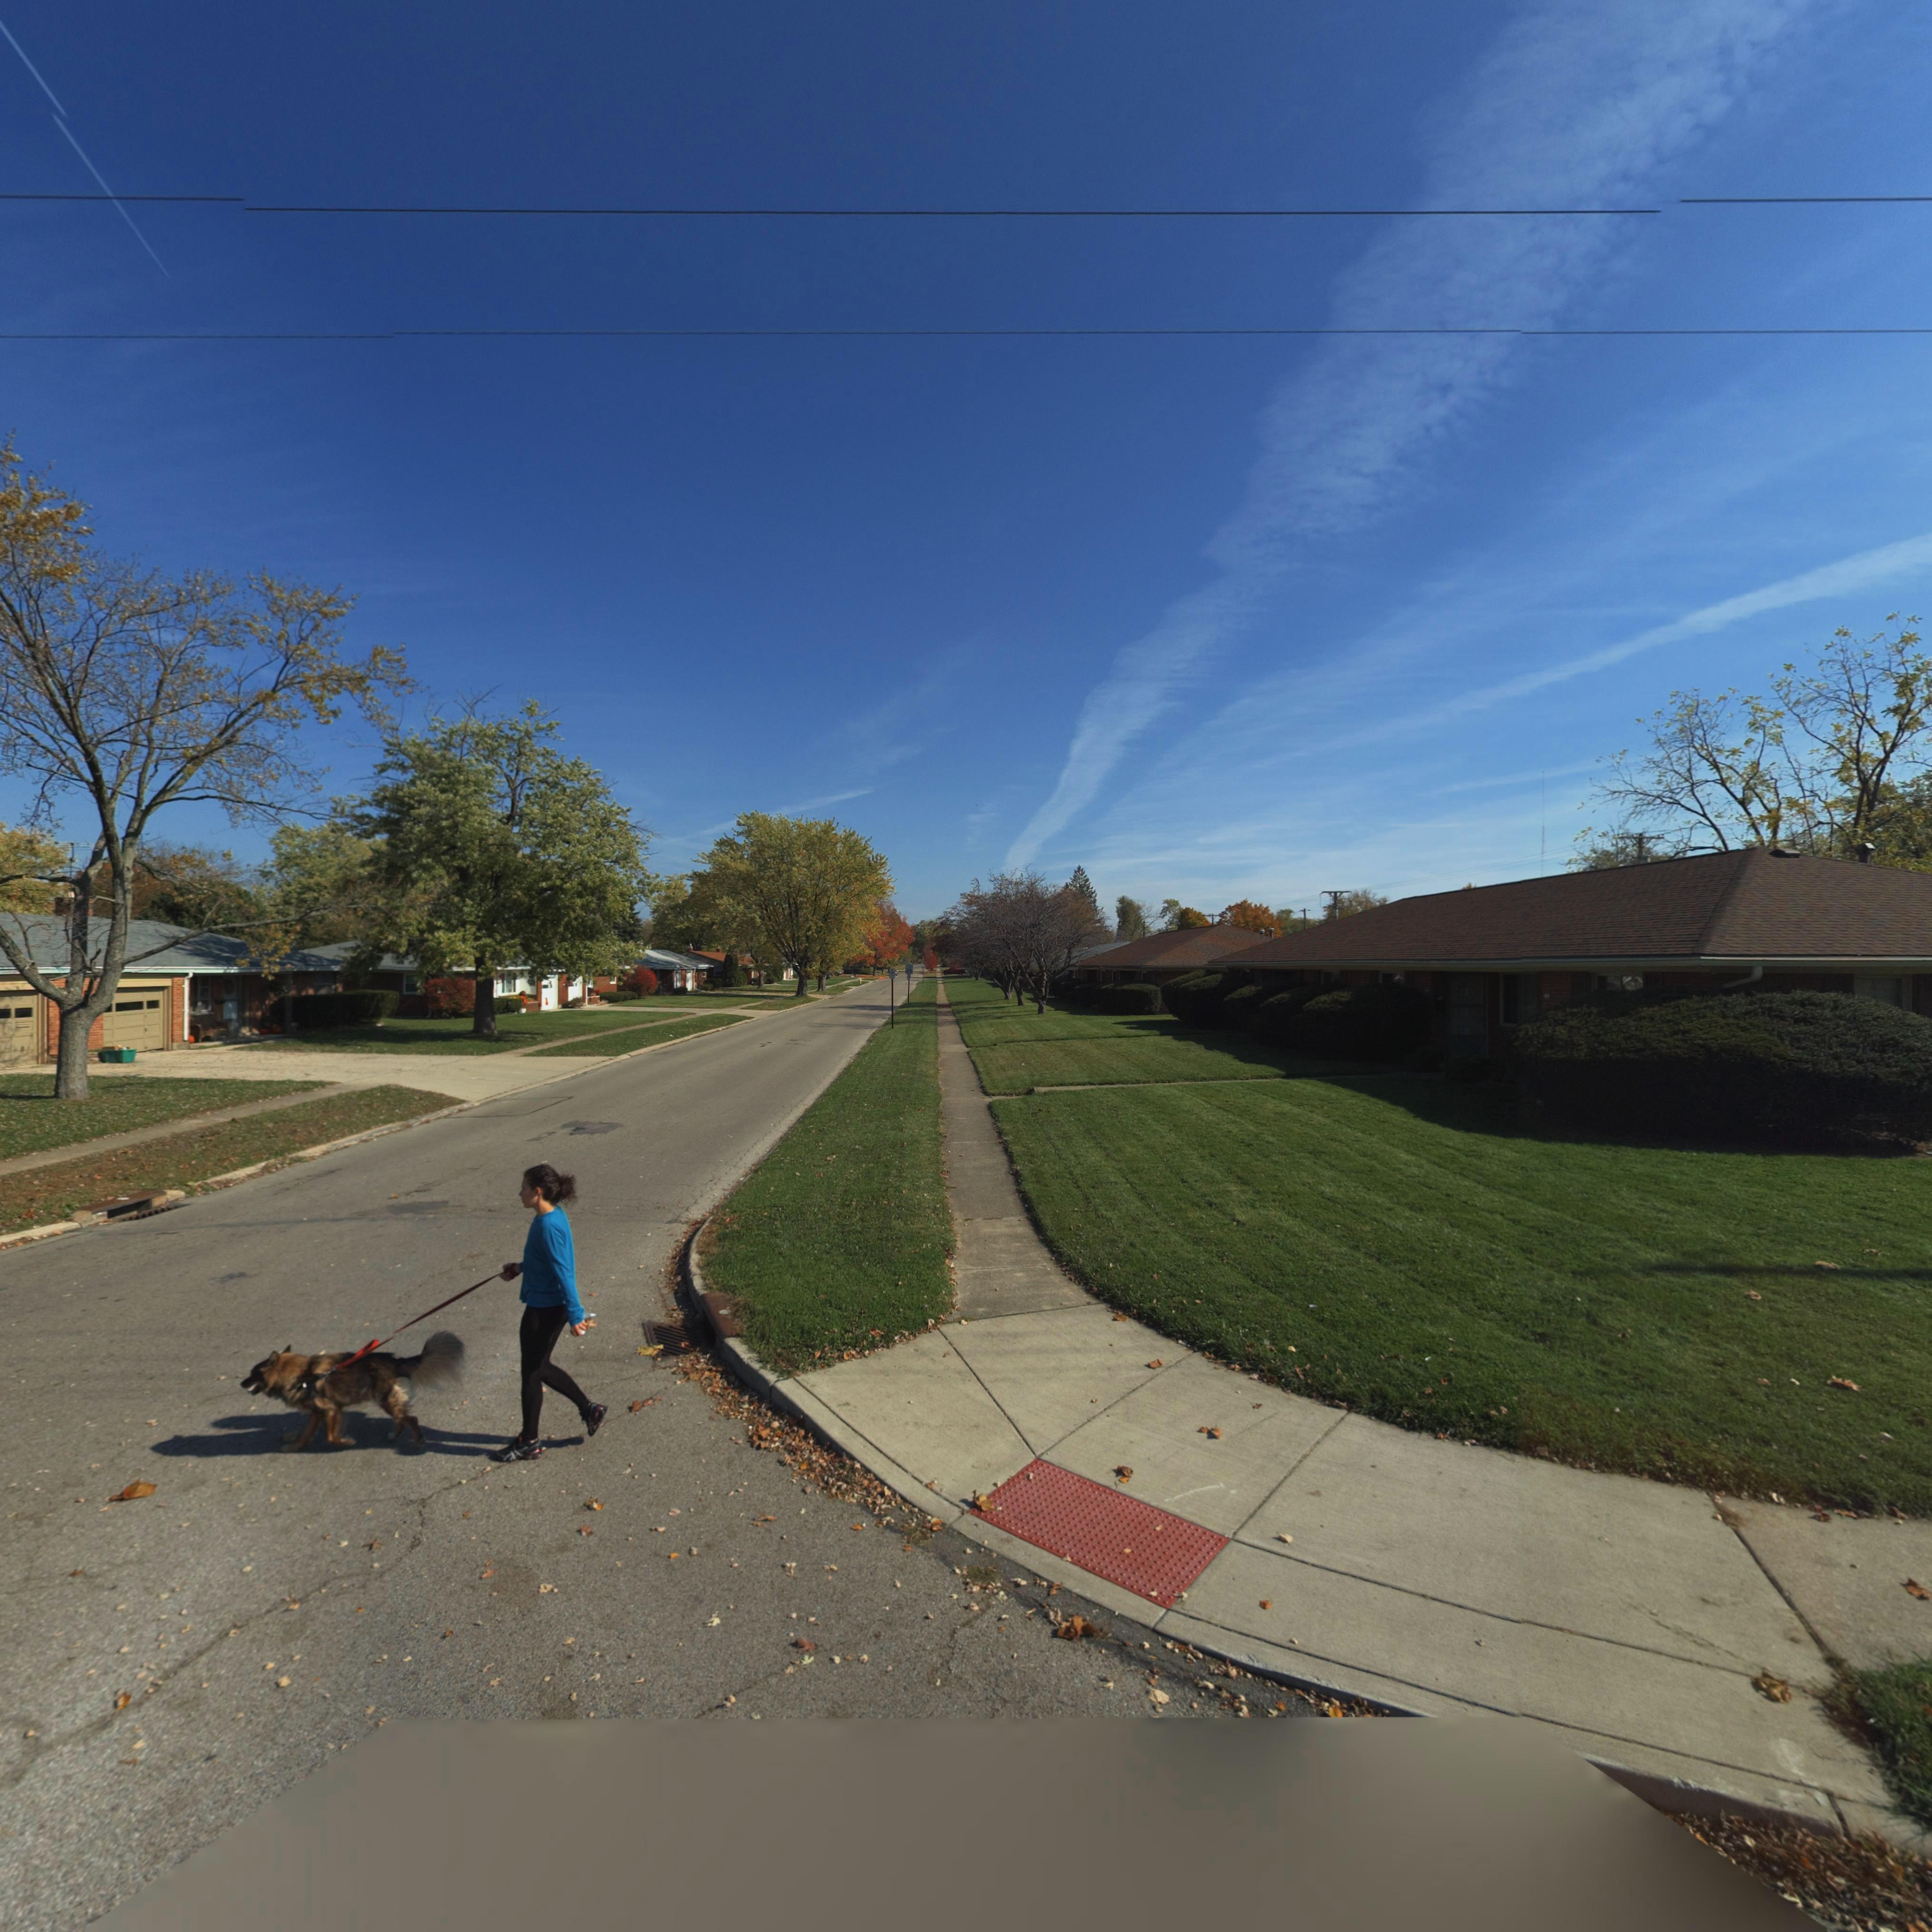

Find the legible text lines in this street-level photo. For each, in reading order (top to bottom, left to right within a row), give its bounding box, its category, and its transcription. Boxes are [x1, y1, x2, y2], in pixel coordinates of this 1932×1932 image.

[906, 969, 912, 973] None: 25